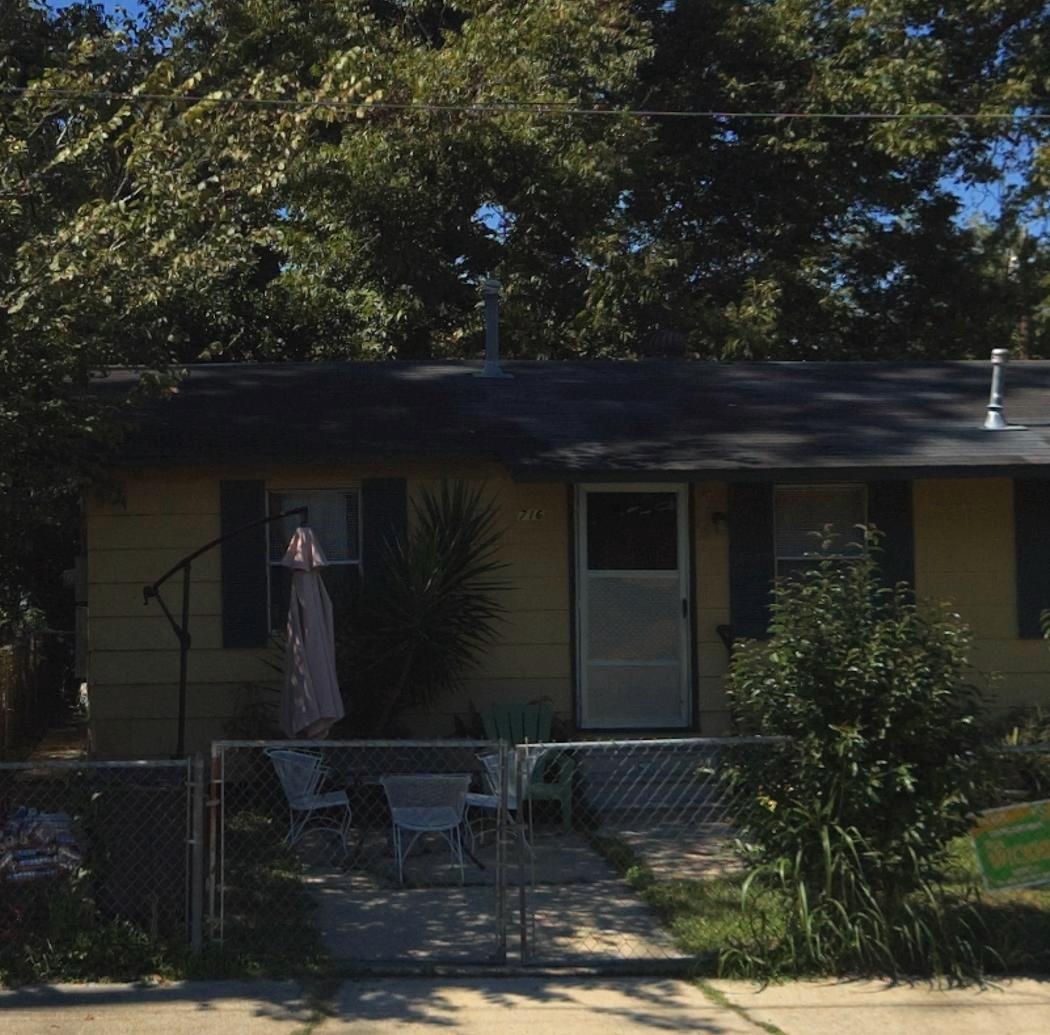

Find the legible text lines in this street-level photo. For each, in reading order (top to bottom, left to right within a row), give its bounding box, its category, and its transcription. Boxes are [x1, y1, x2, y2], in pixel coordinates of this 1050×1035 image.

[518, 508, 544, 521] StreetNumber: 716